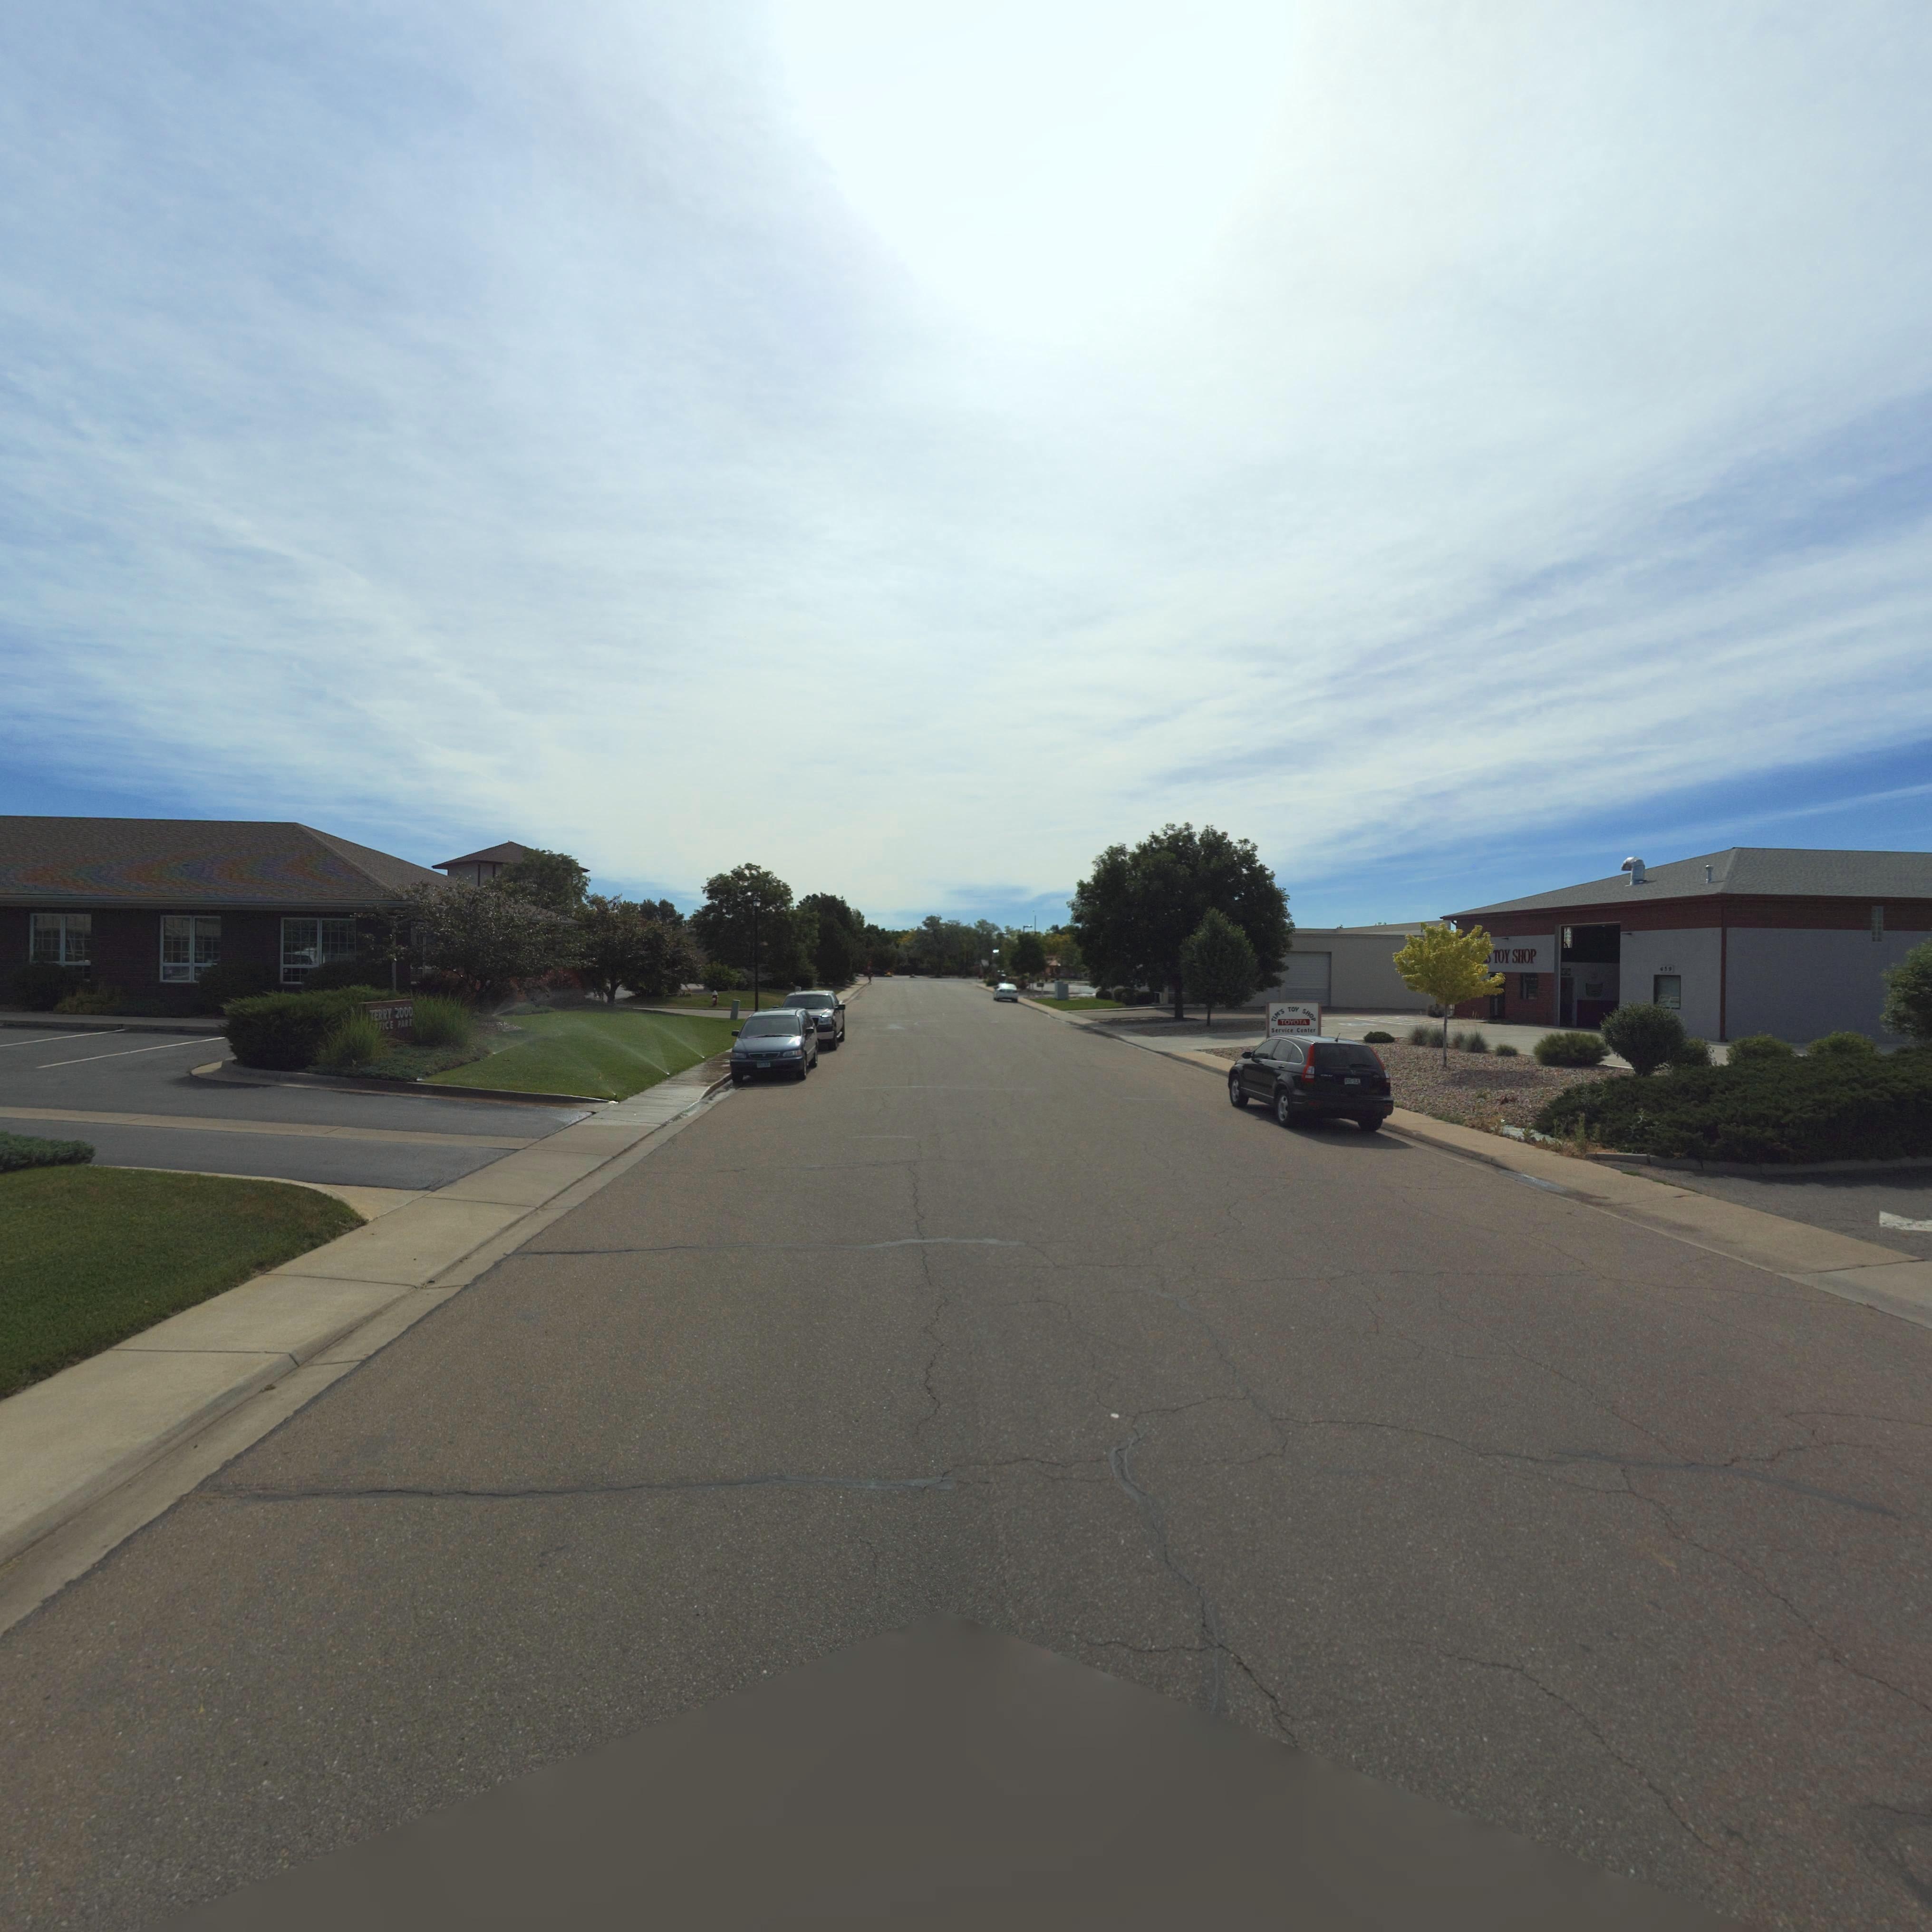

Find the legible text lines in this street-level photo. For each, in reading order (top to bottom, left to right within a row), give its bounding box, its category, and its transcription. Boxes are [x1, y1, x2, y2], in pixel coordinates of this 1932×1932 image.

[1493, 948, 1536, 963] BusinessName: TOY SHOP
[1660, 966, 1671, 971] StreetNumber: *59
[369, 1007, 393, 1021] StreetName: TERRY
[394, 1005, 413, 1019] StreetNumber: 2000
[1271, 1006, 1316, 1022] BusinessName: TIM'S TOY SHOP
[1280, 1019, 1307, 1024] BusinessName: TOYOTA